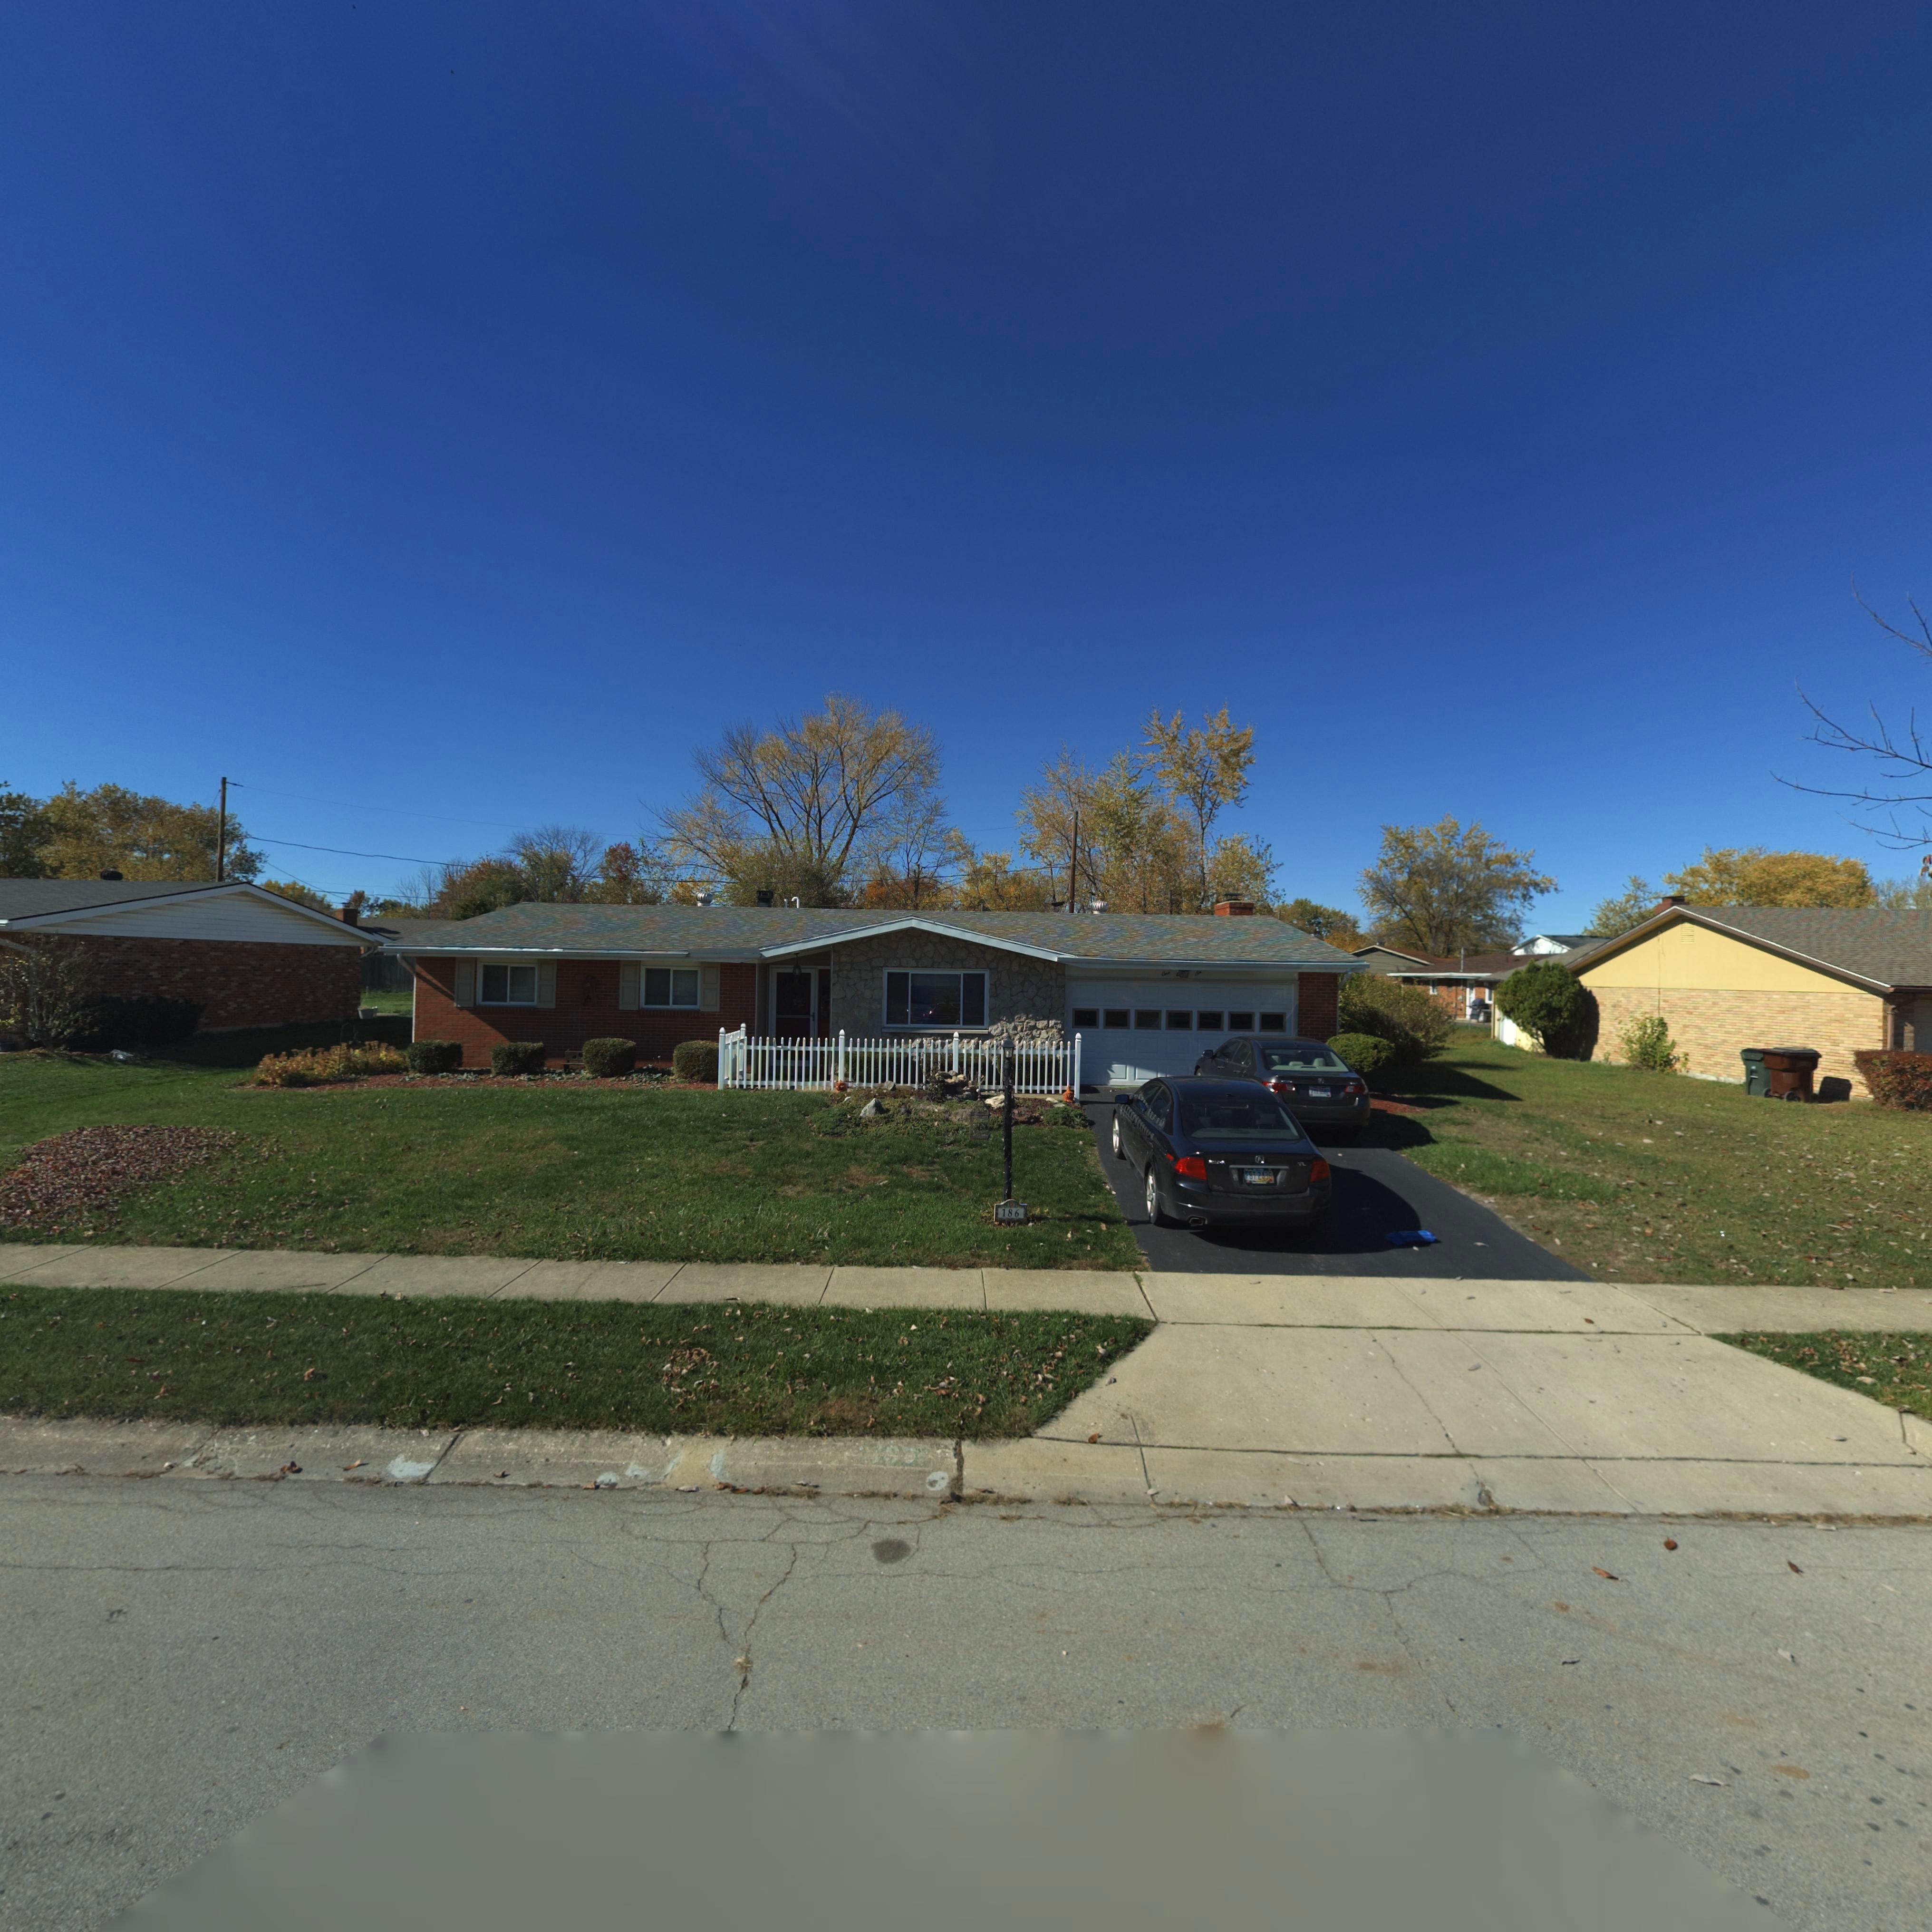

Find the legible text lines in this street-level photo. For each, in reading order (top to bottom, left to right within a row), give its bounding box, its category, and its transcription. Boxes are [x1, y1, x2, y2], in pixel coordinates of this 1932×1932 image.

[1001, 1208, 1021, 1218] StreetNumber: 186